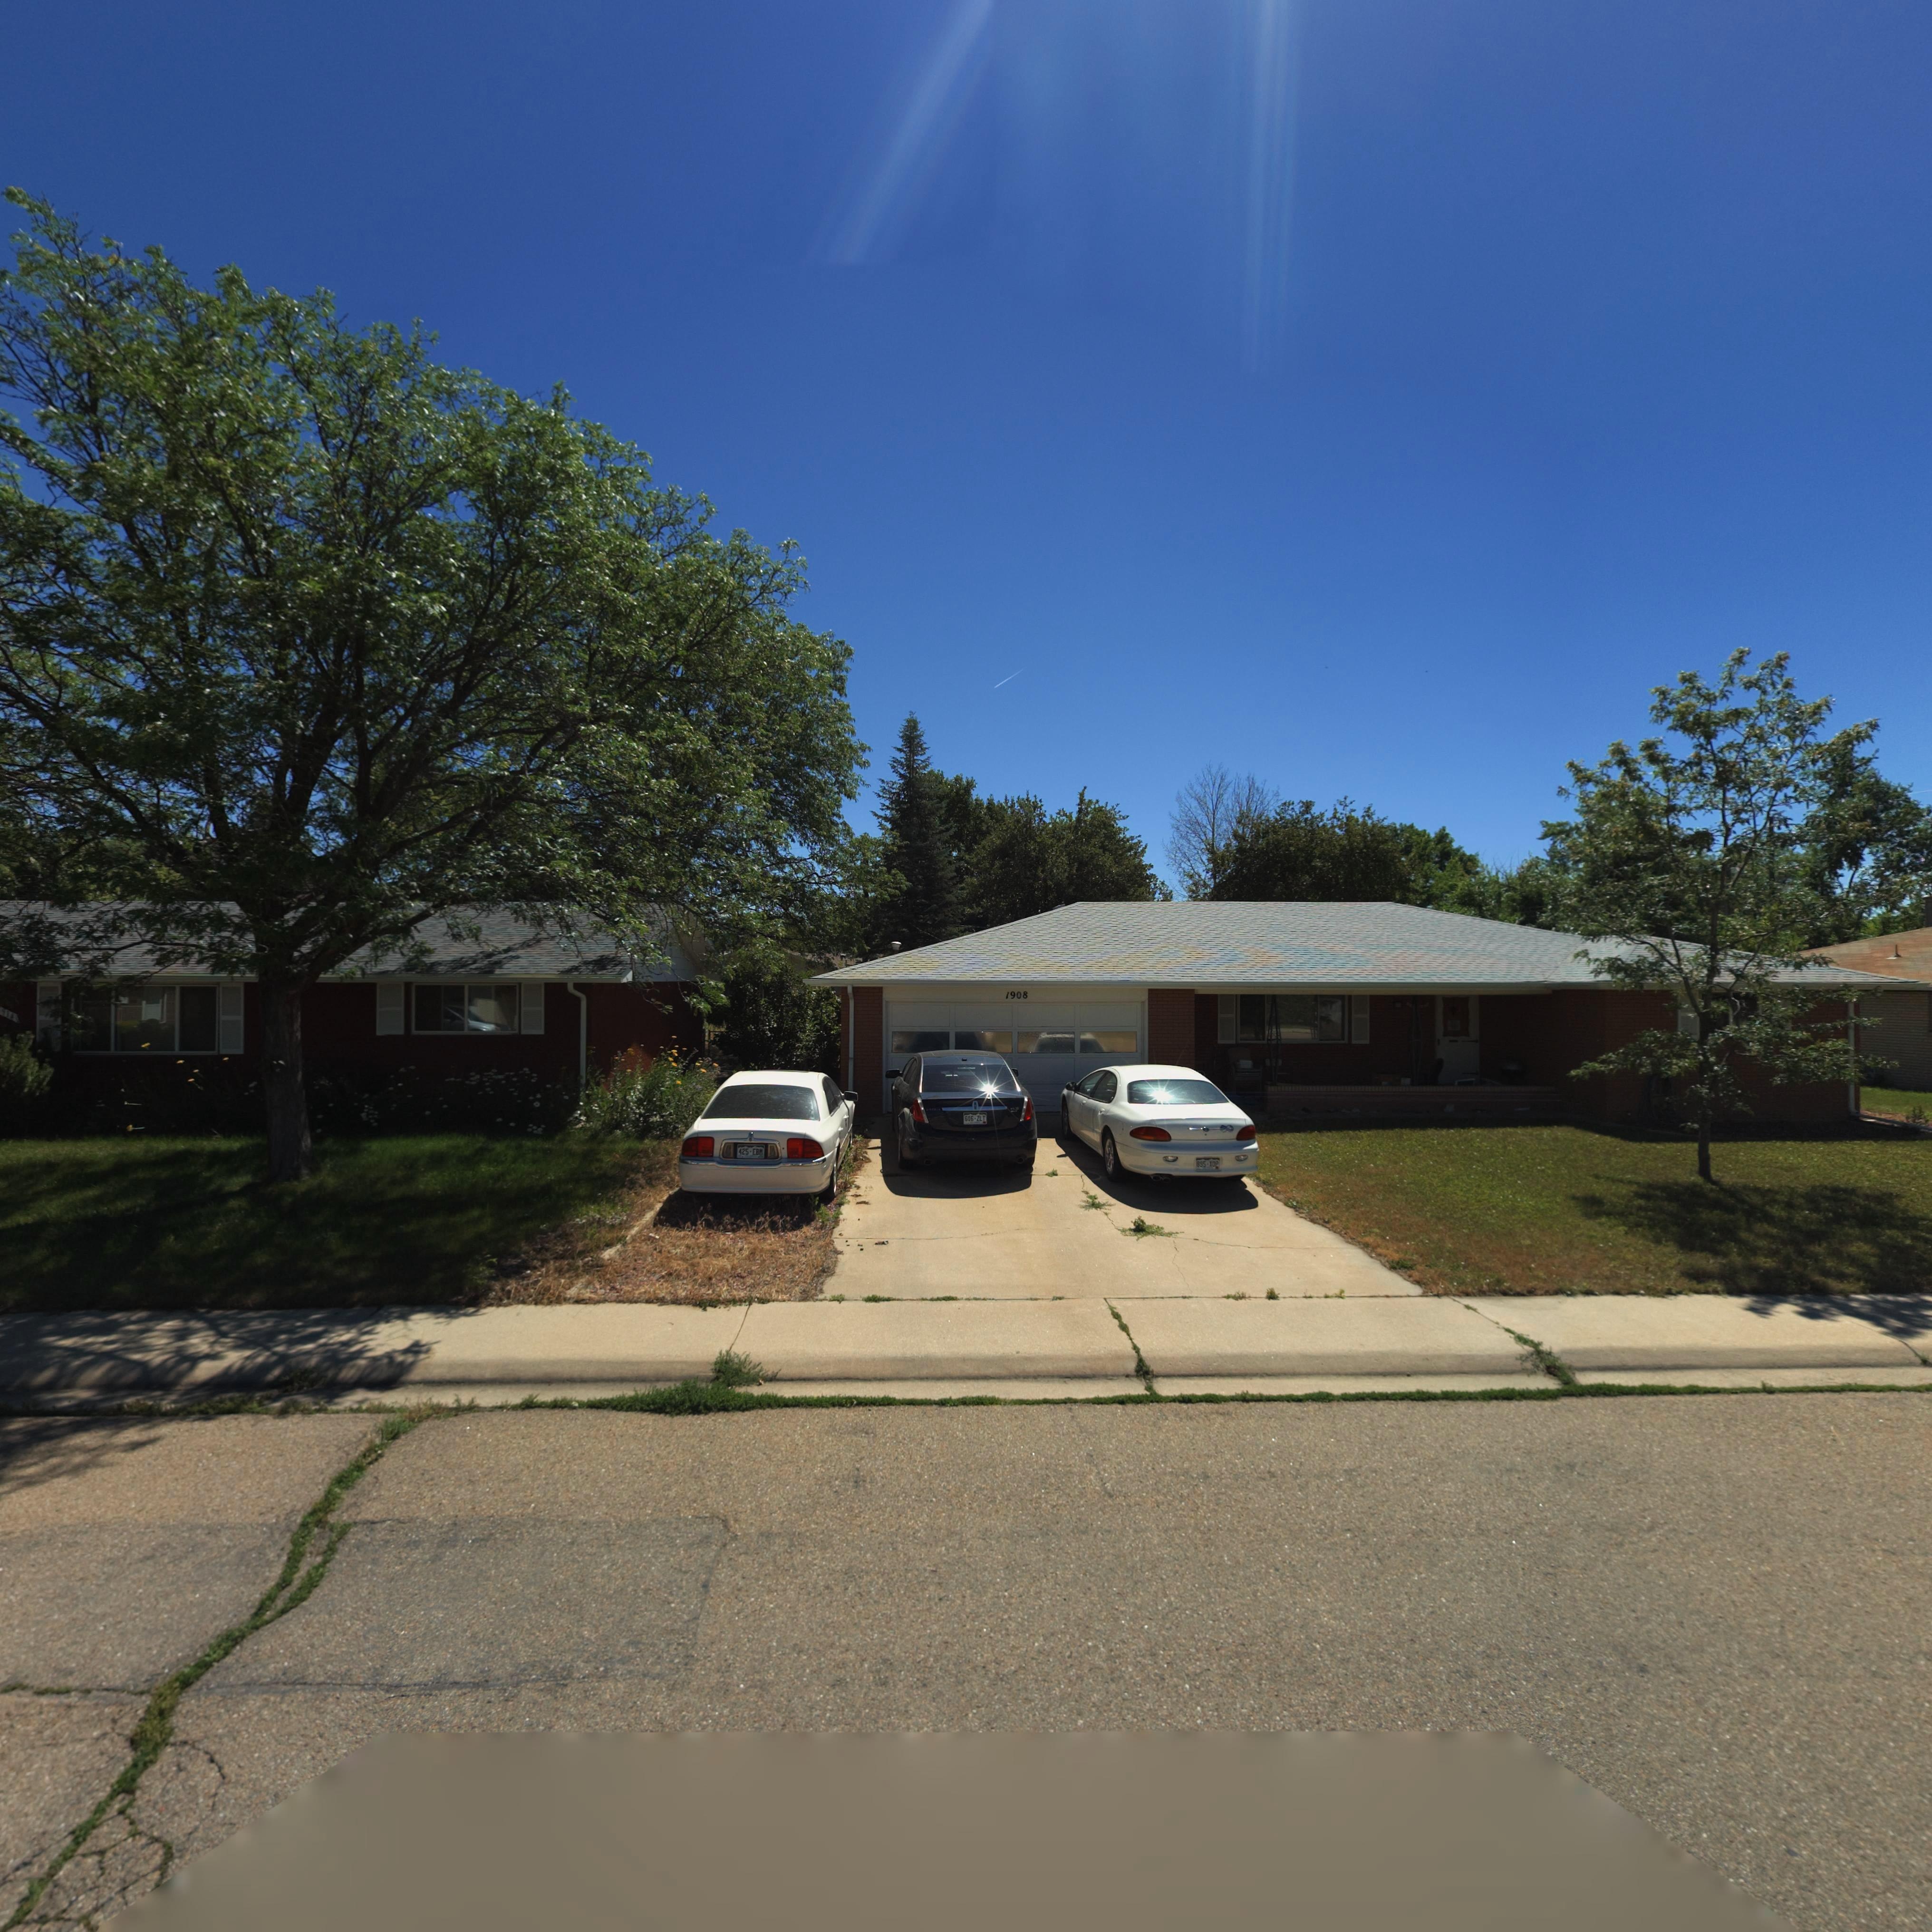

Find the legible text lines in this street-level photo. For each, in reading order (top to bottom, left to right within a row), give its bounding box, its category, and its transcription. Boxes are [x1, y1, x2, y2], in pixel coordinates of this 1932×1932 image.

[1005, 990, 1028, 1000] StreetNumber: 1908
[1, 1007, 15, 1021] StreetNumber: 914